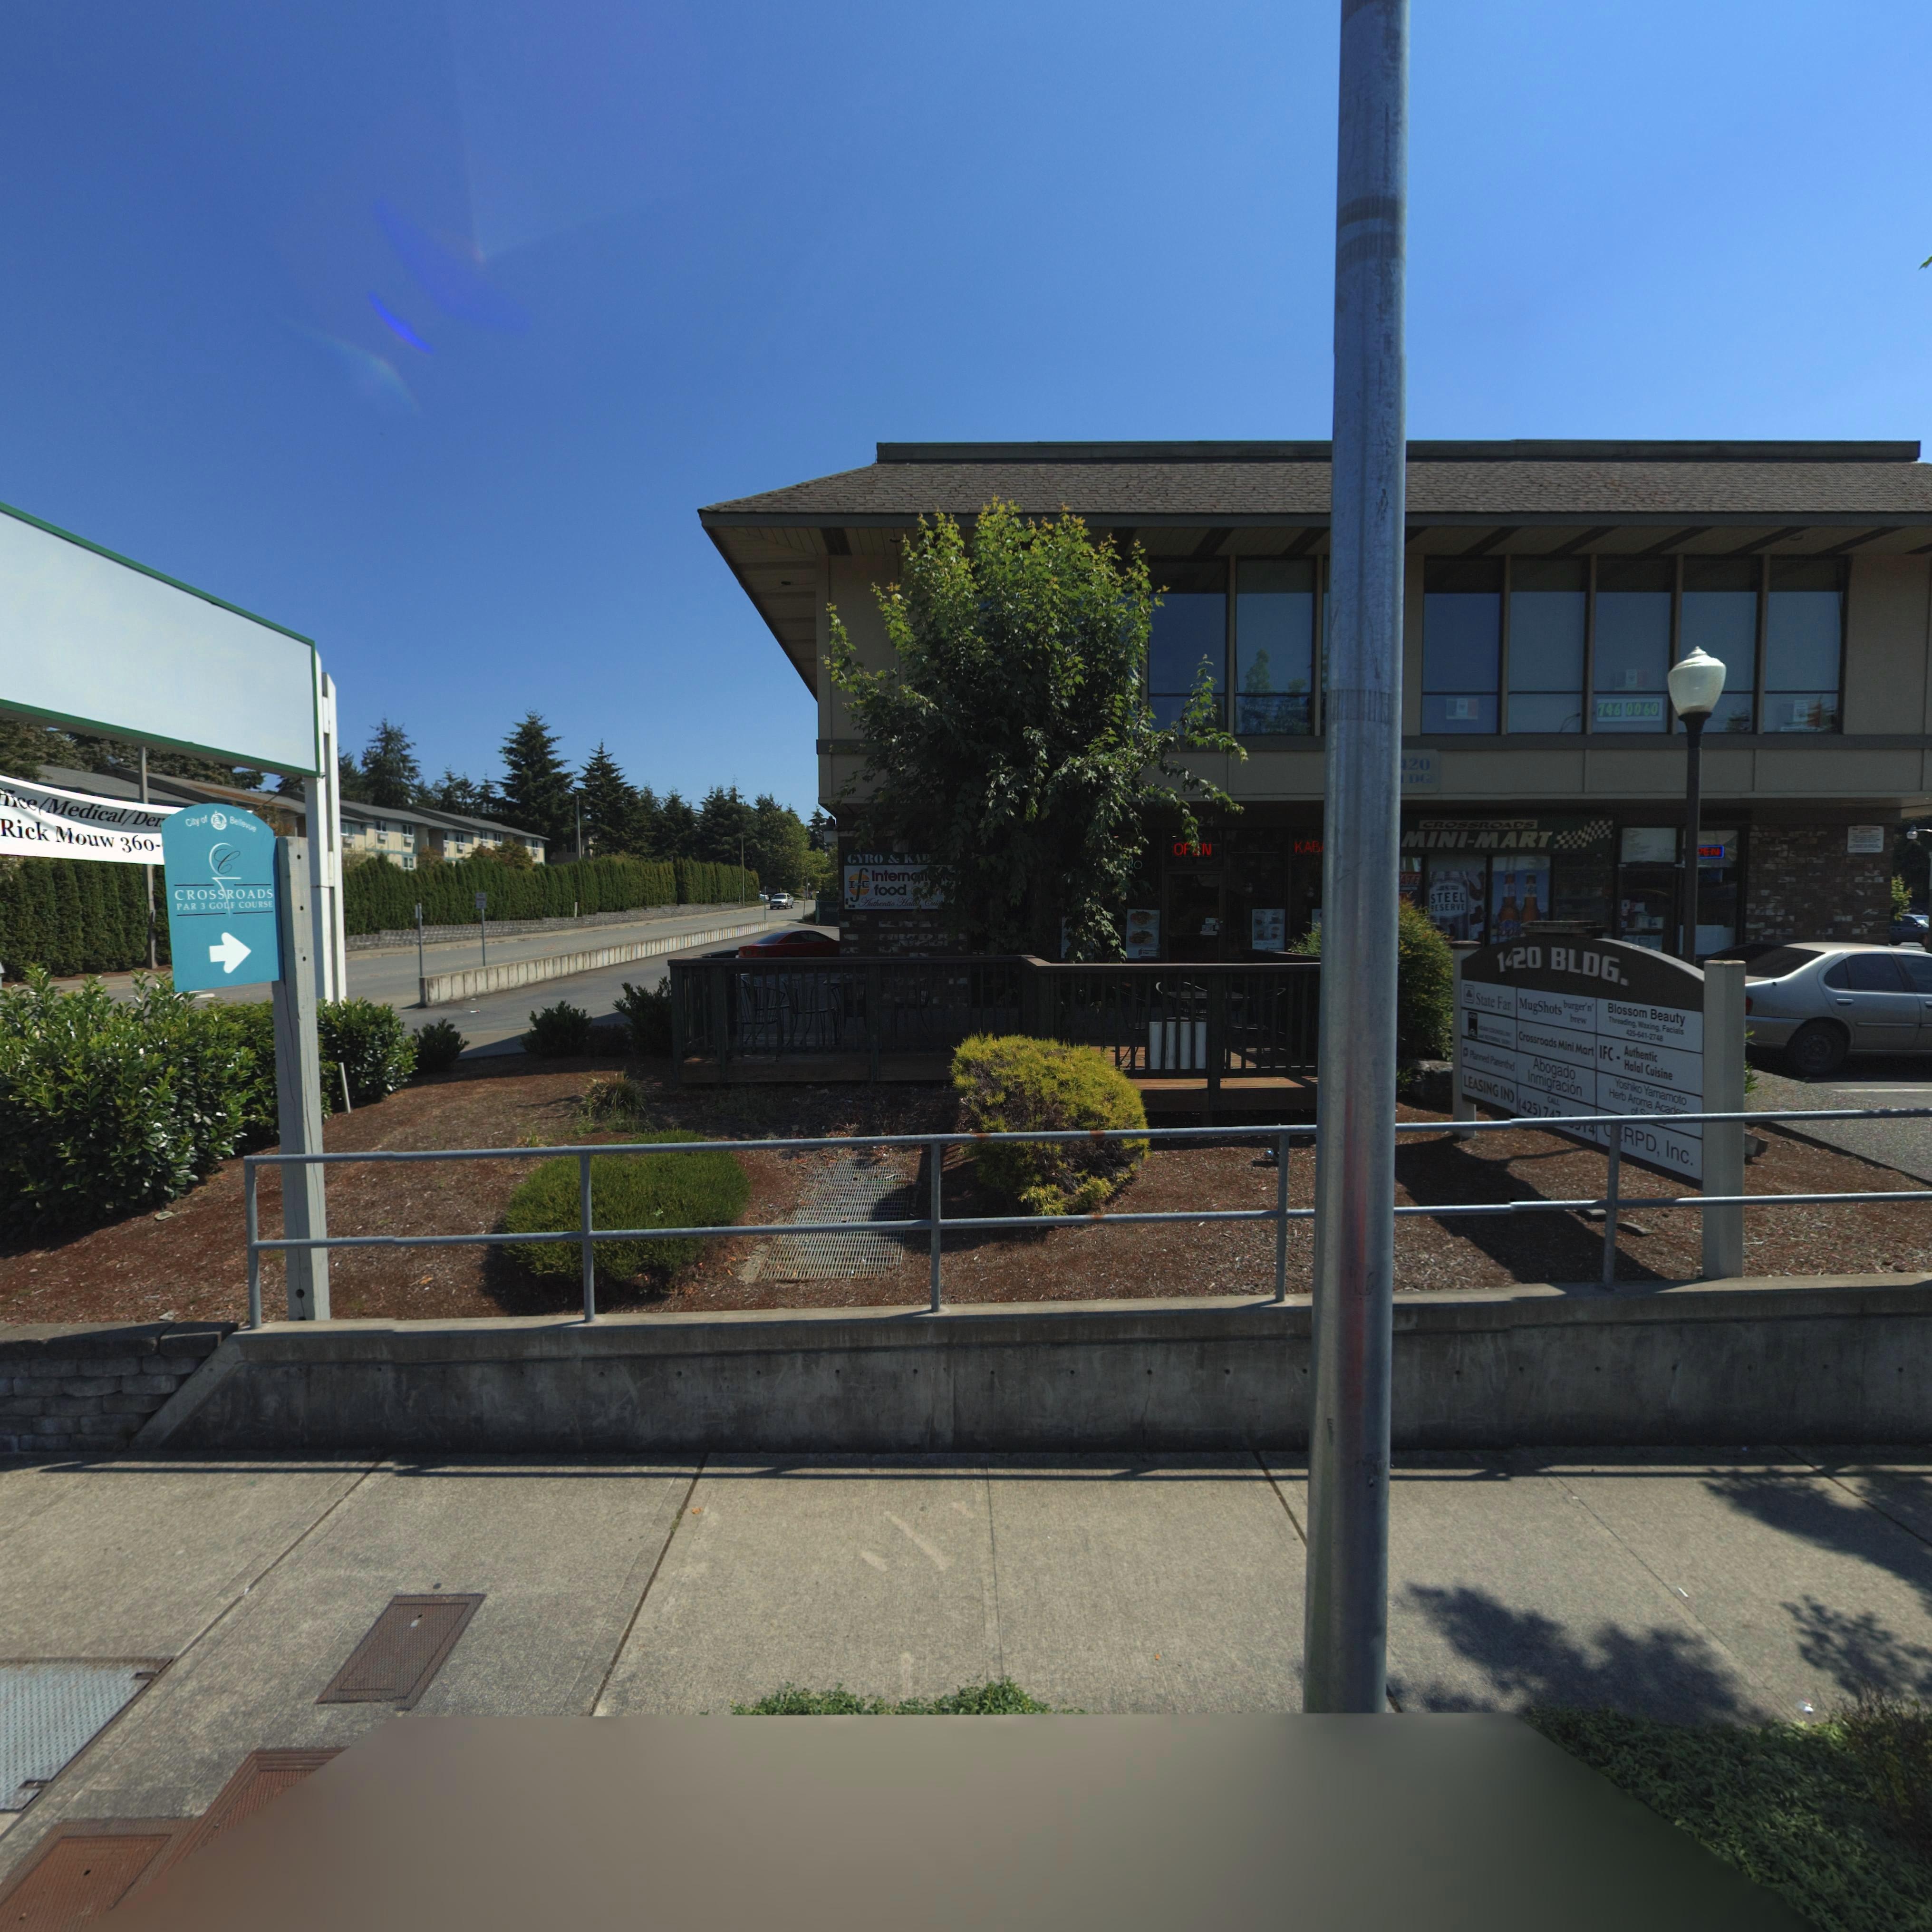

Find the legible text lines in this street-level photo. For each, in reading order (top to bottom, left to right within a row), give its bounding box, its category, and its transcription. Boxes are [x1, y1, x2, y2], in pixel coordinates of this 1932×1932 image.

[1401, 756, 1430, 771] StreetNumber: *20
[1196, 814, 1216, 827] StreetNumber: 24
[1423, 820, 1536, 829] BusinessName: CROSSROADS
[1401, 831, 1554, 848] BusinessName: MINI MART
[870, 869, 919, 881] BusinessName: Intern*
[873, 883, 908, 896] BusinessName: food
[1497, 946, 1541, 974] StreetNumber: 1*20
[1475, 991, 1511, 1012] BusinessName: State Fa*
[1519, 997, 1563, 1016] BusinessName: MugShots
[1607, 1002, 1686, 1027] BusinessName: Blossom Beauty
[1519, 1030, 1594, 1056] None: Crossroads Mini Mart
[1598, 1043, 1614, 1062] BusinessName: IFC
[1532, 1057, 1576, 1080] BusinessName: Abogado
[1527, 1068, 1583, 1098] BusinessName: Inmigraci*n
[1609, 1087, 1681, 1115] BusinessName: Herb Aroma Acad*
[1614, 1076, 1687, 1106] BusinessName: Yoshiko Yamamoto
[1622, 1125, 1689, 1166] BusinessName: RPD, Inc